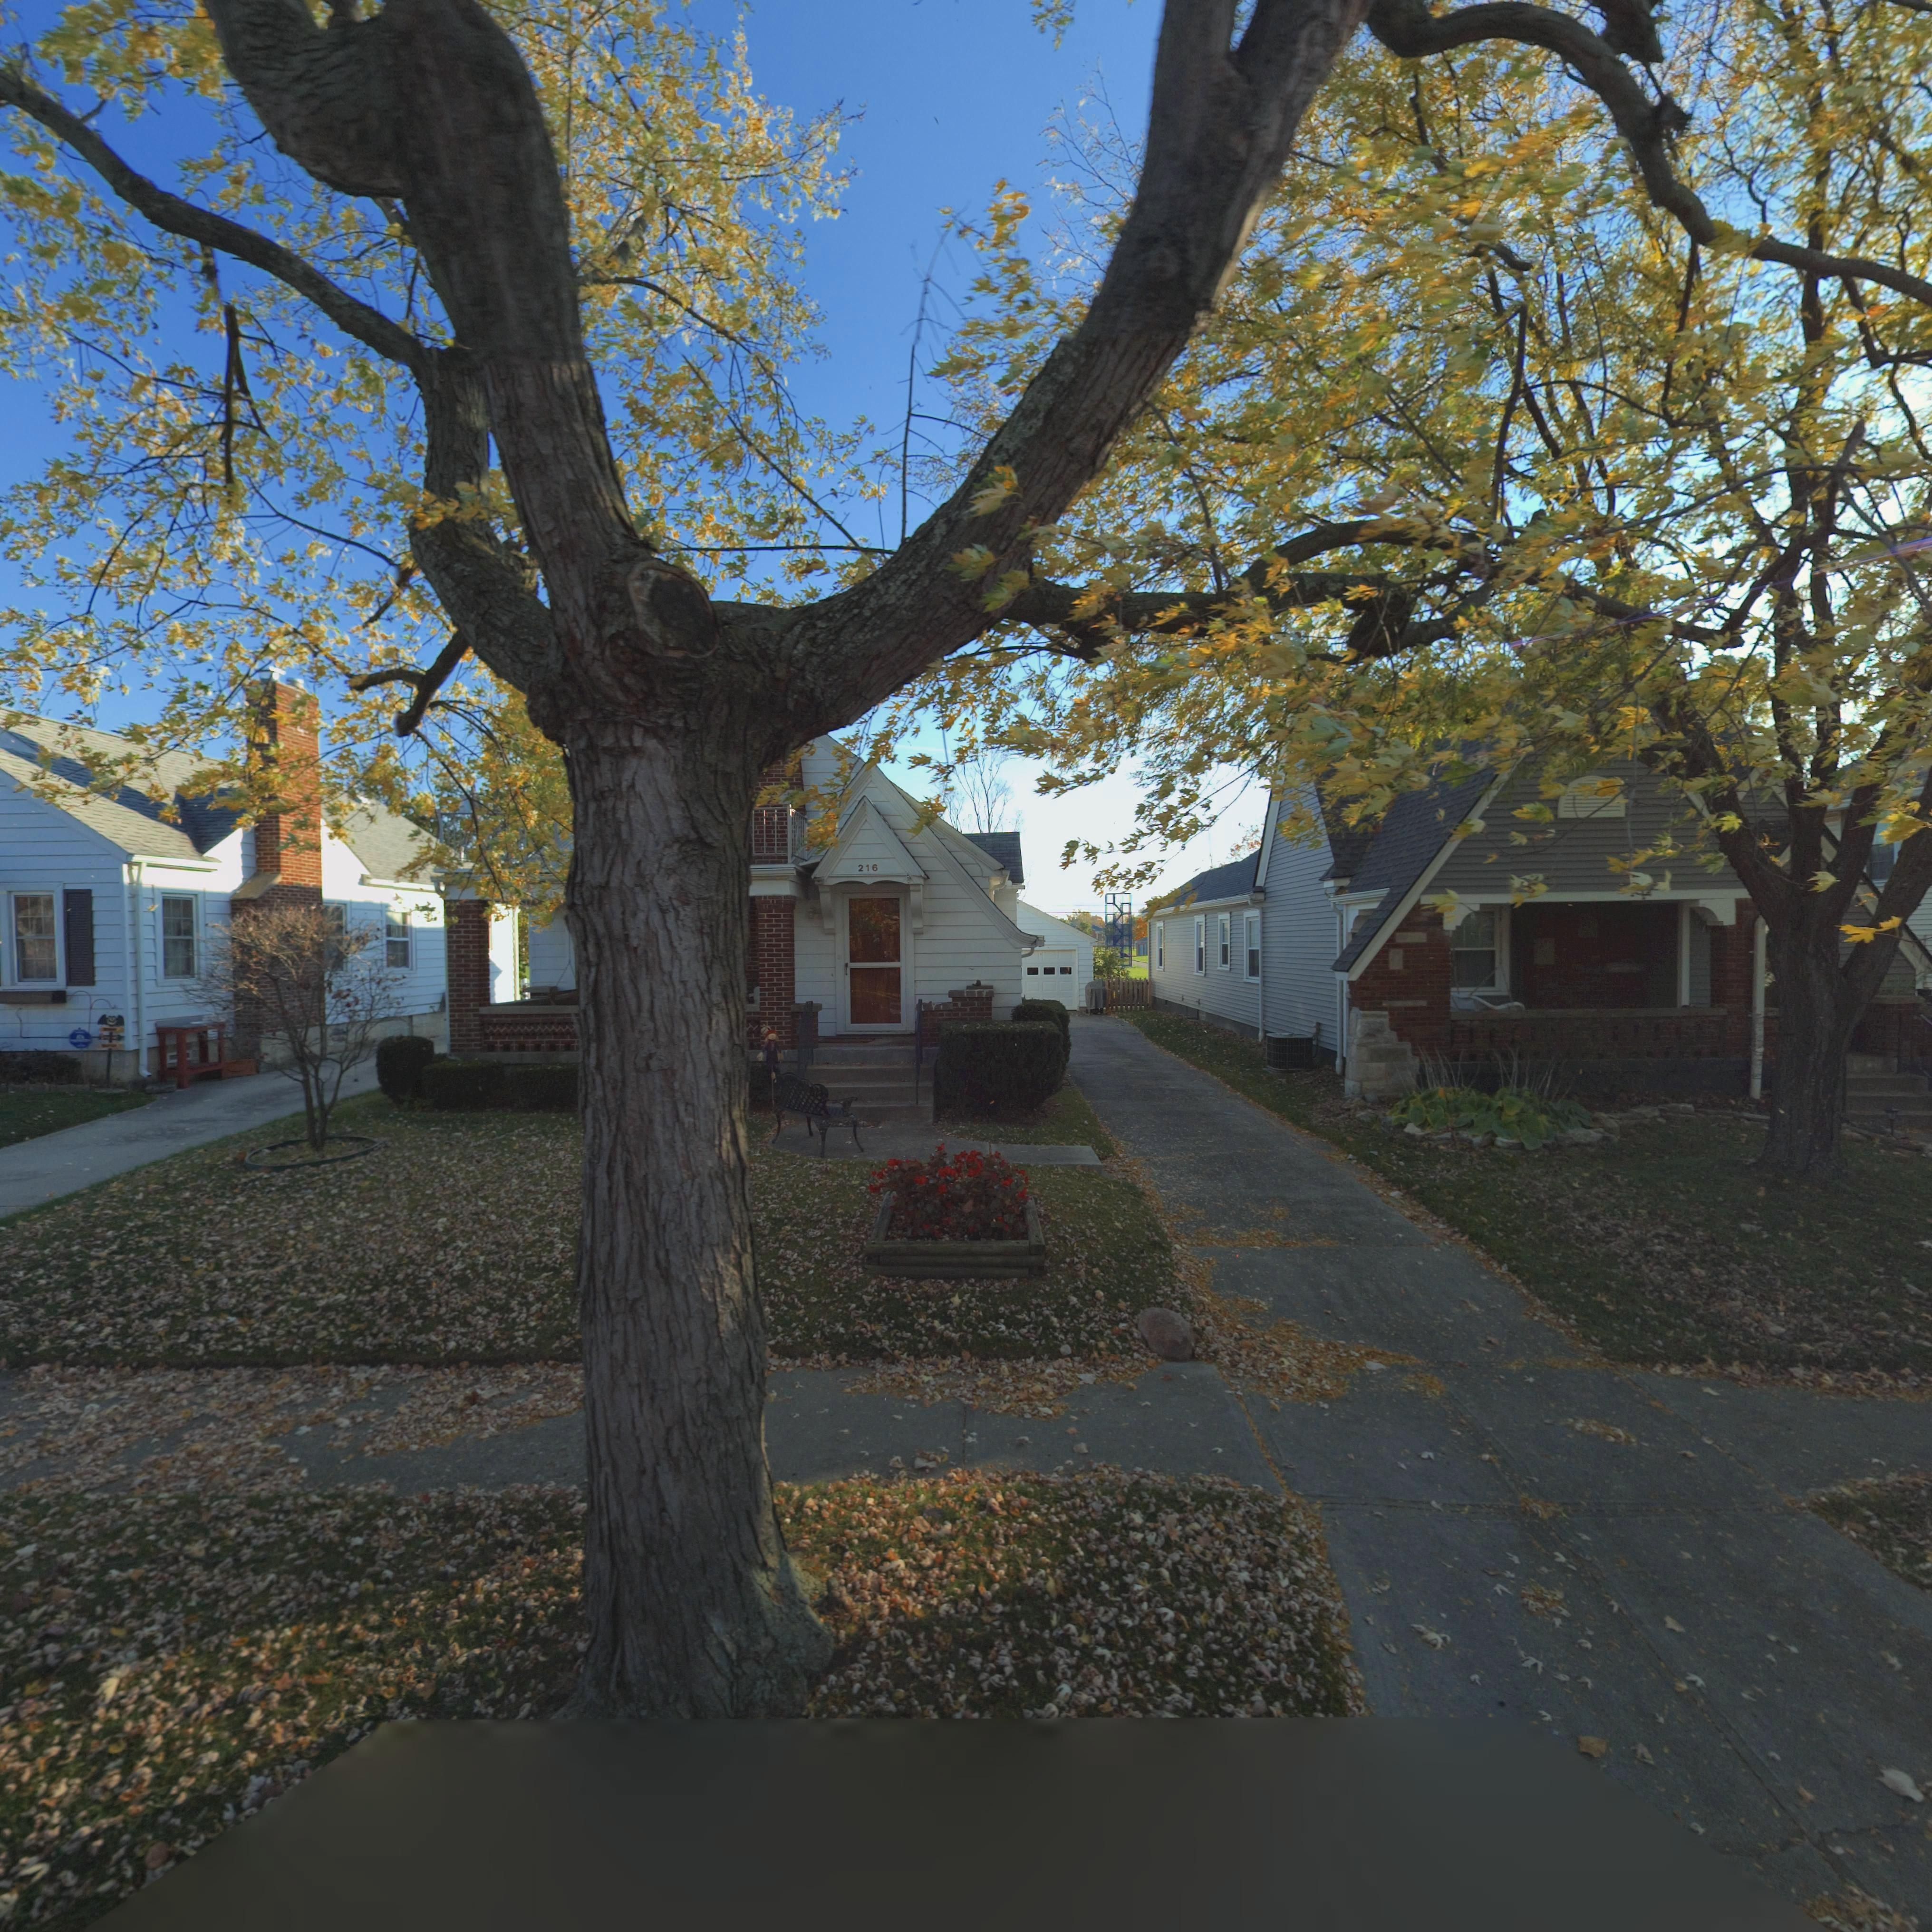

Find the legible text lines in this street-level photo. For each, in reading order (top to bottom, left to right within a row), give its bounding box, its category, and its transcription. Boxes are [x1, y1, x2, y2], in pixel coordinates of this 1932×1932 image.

[856, 862, 880, 873] StreetNumber: 216